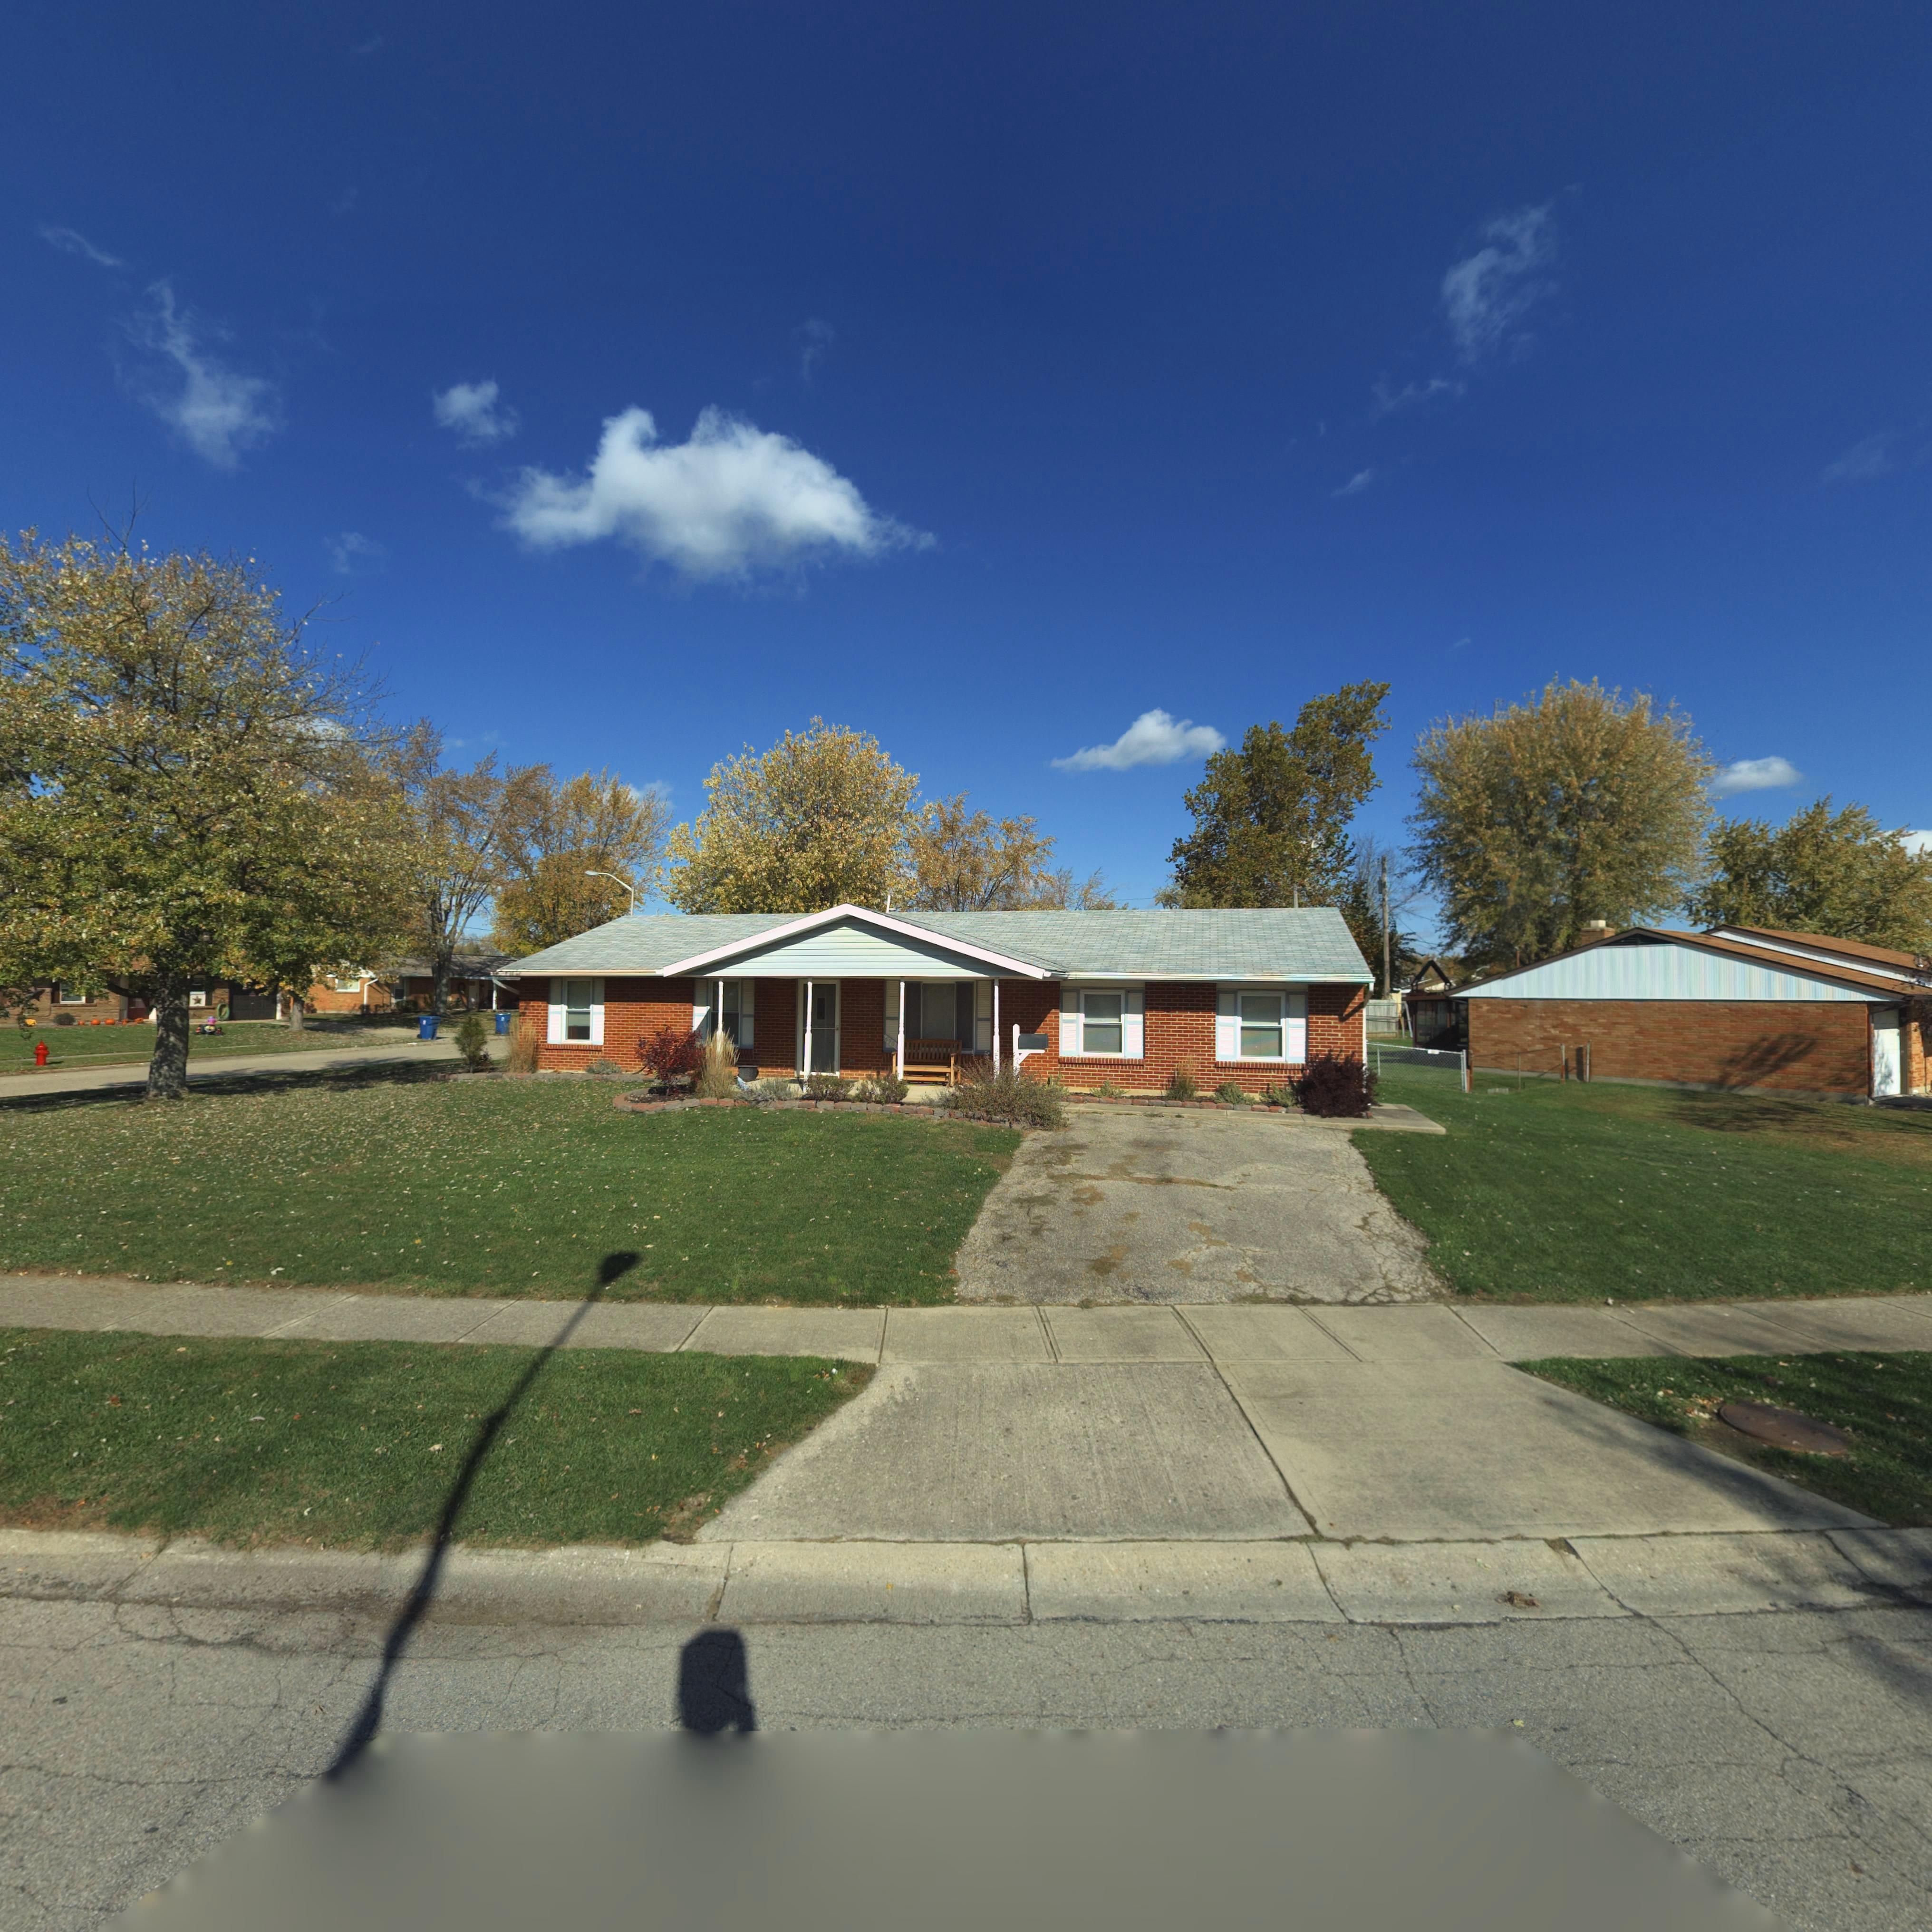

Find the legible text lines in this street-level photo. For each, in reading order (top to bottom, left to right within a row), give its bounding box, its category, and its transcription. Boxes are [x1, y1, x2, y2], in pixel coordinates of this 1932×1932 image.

[883, 1035, 896, 1048] StreetNumber: 690